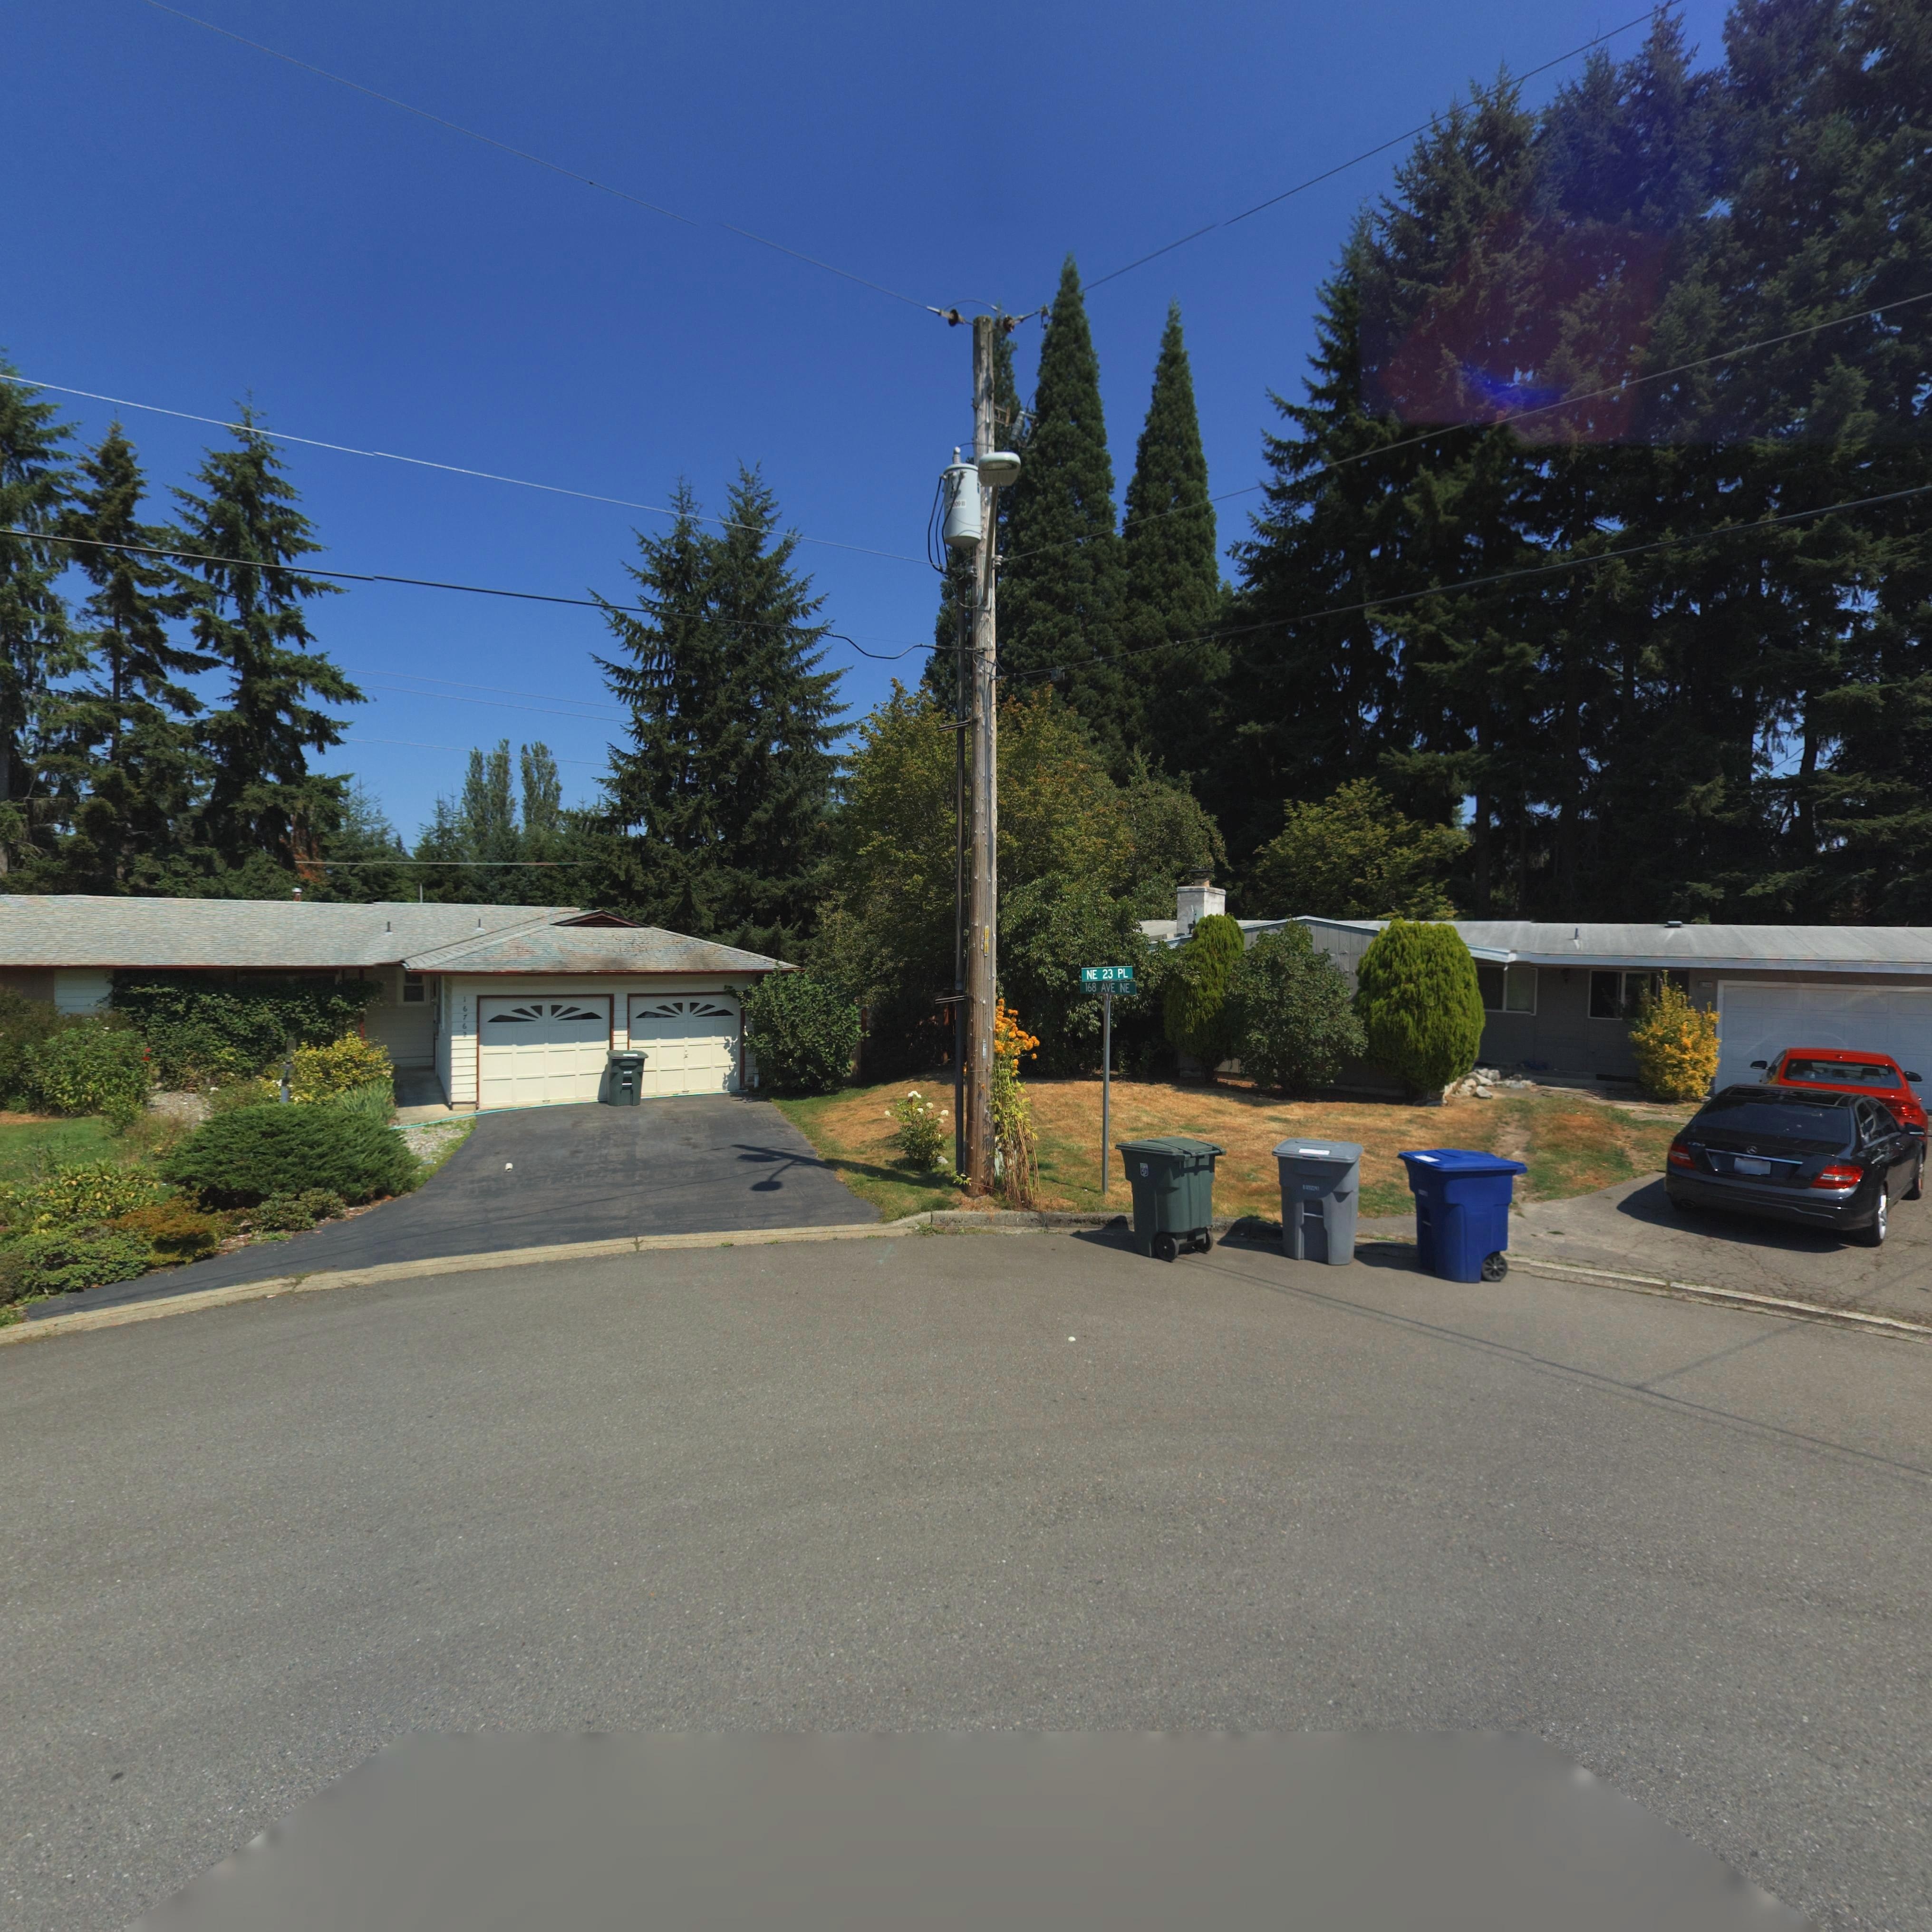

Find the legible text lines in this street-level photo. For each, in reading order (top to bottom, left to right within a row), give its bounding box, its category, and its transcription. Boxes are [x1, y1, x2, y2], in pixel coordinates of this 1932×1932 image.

[462, 995, 467, 1037] StreetNumber: 16762